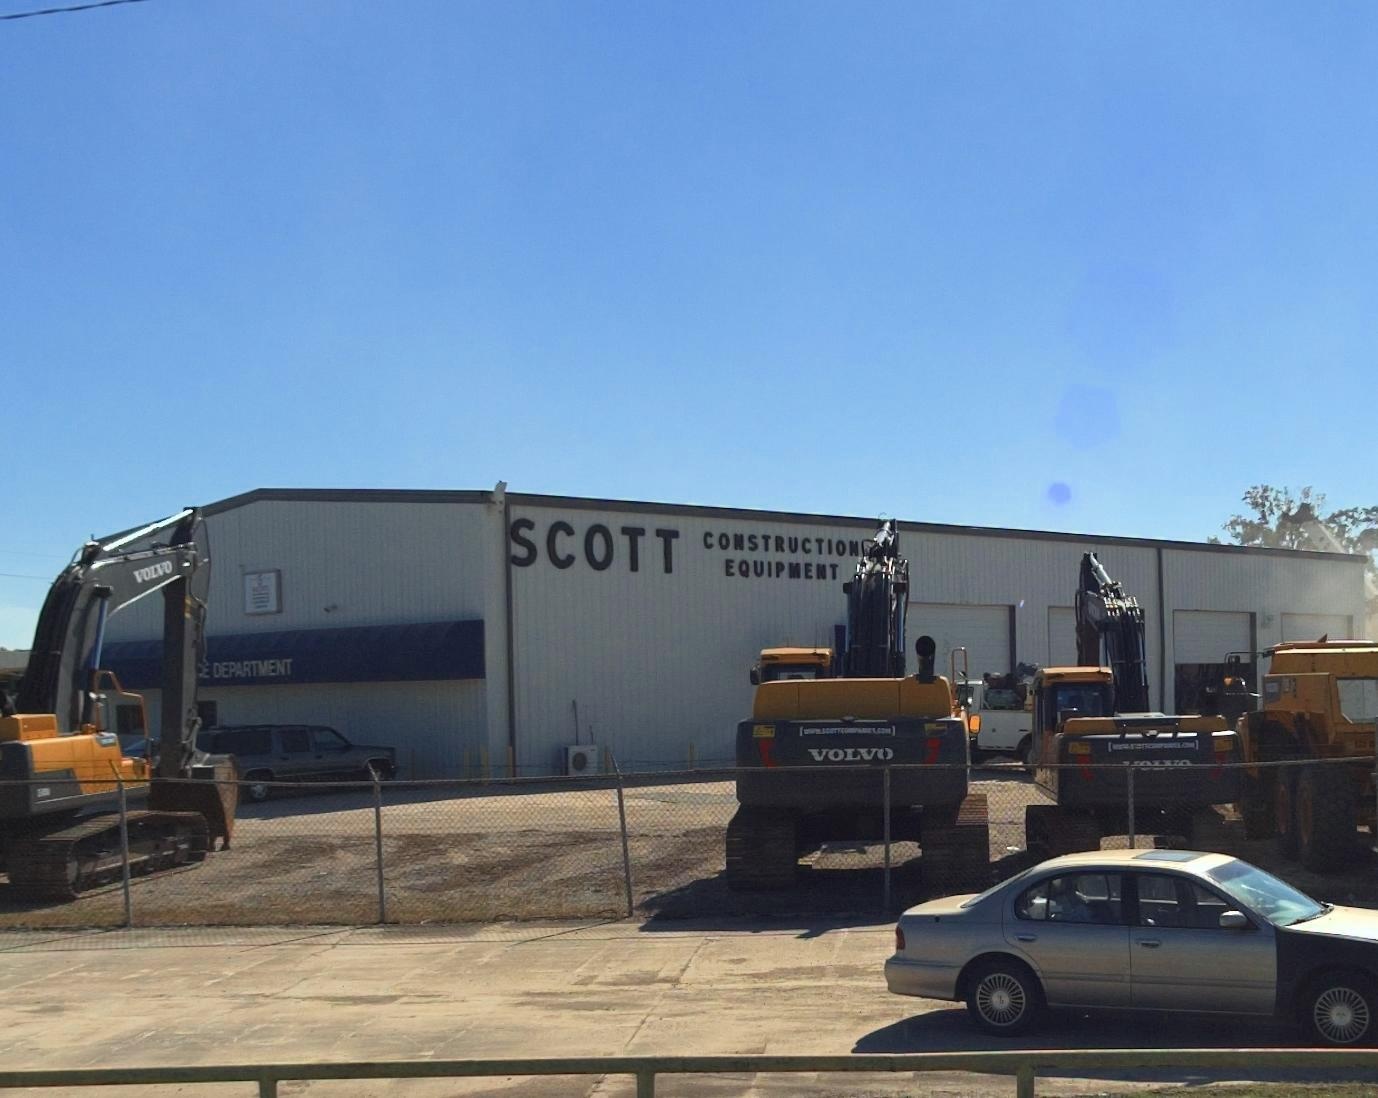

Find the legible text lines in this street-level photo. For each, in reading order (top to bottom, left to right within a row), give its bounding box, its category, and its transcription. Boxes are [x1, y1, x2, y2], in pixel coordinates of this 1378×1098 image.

[506, 514, 682, 578] BusinessName: SCOTT
[701, 528, 863, 559] BusinessName: CONSTRUCTION
[127, 557, 175, 586] BusinessName: VOLVO
[723, 556, 841, 582] BusinessName: EQUIPMENT
[210, 655, 297, 682] None: DEPARTMENT
[804, 745, 898, 764] BusinessName: VOLVO